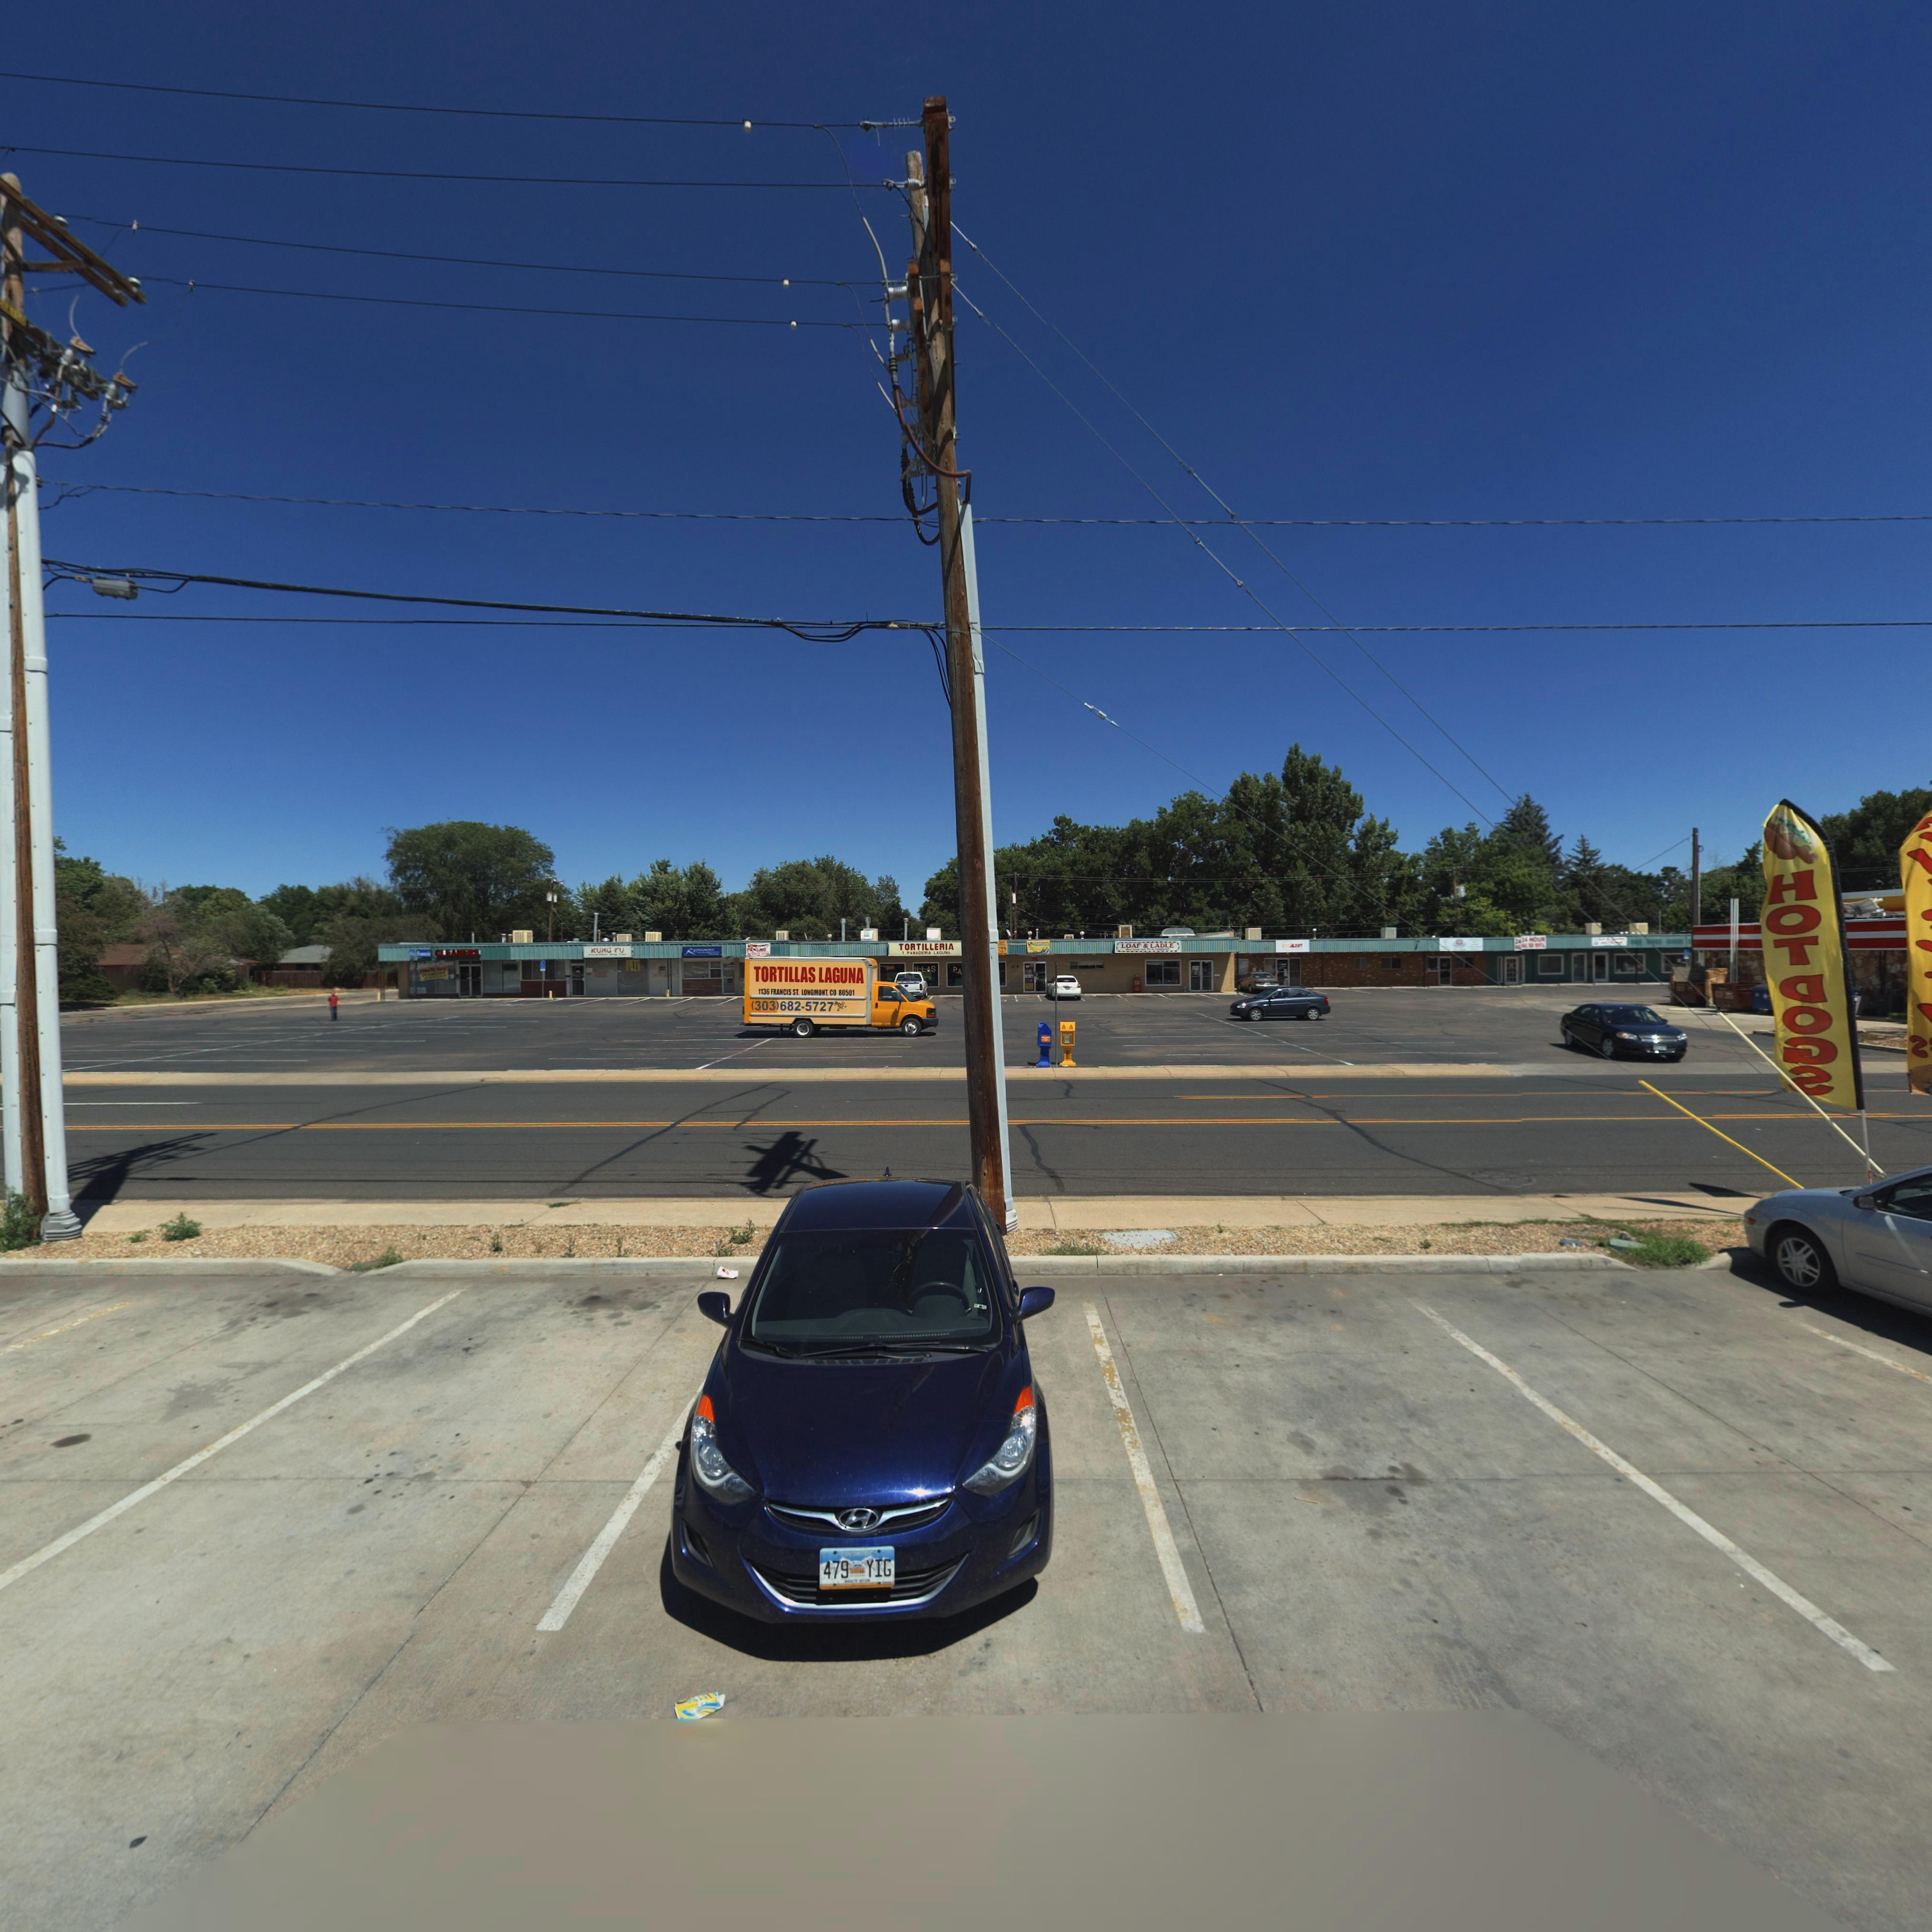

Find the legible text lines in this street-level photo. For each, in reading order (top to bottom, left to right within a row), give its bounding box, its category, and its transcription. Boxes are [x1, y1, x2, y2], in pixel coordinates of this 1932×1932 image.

[898, 943, 954, 950] BusinessName: TORTILLERIA
[1121, 943, 1174, 948] BusinessName: LOAF * LADLE
[1289, 943, 1303, 948] BusinessName: ALERT
[416, 950, 431, 956] BusinessName: Francis
[435, 948, 478, 956] BusinessName: CLEANERS
[902, 950, 951, 955] BusinessName: * PANADERIA LAGUNA